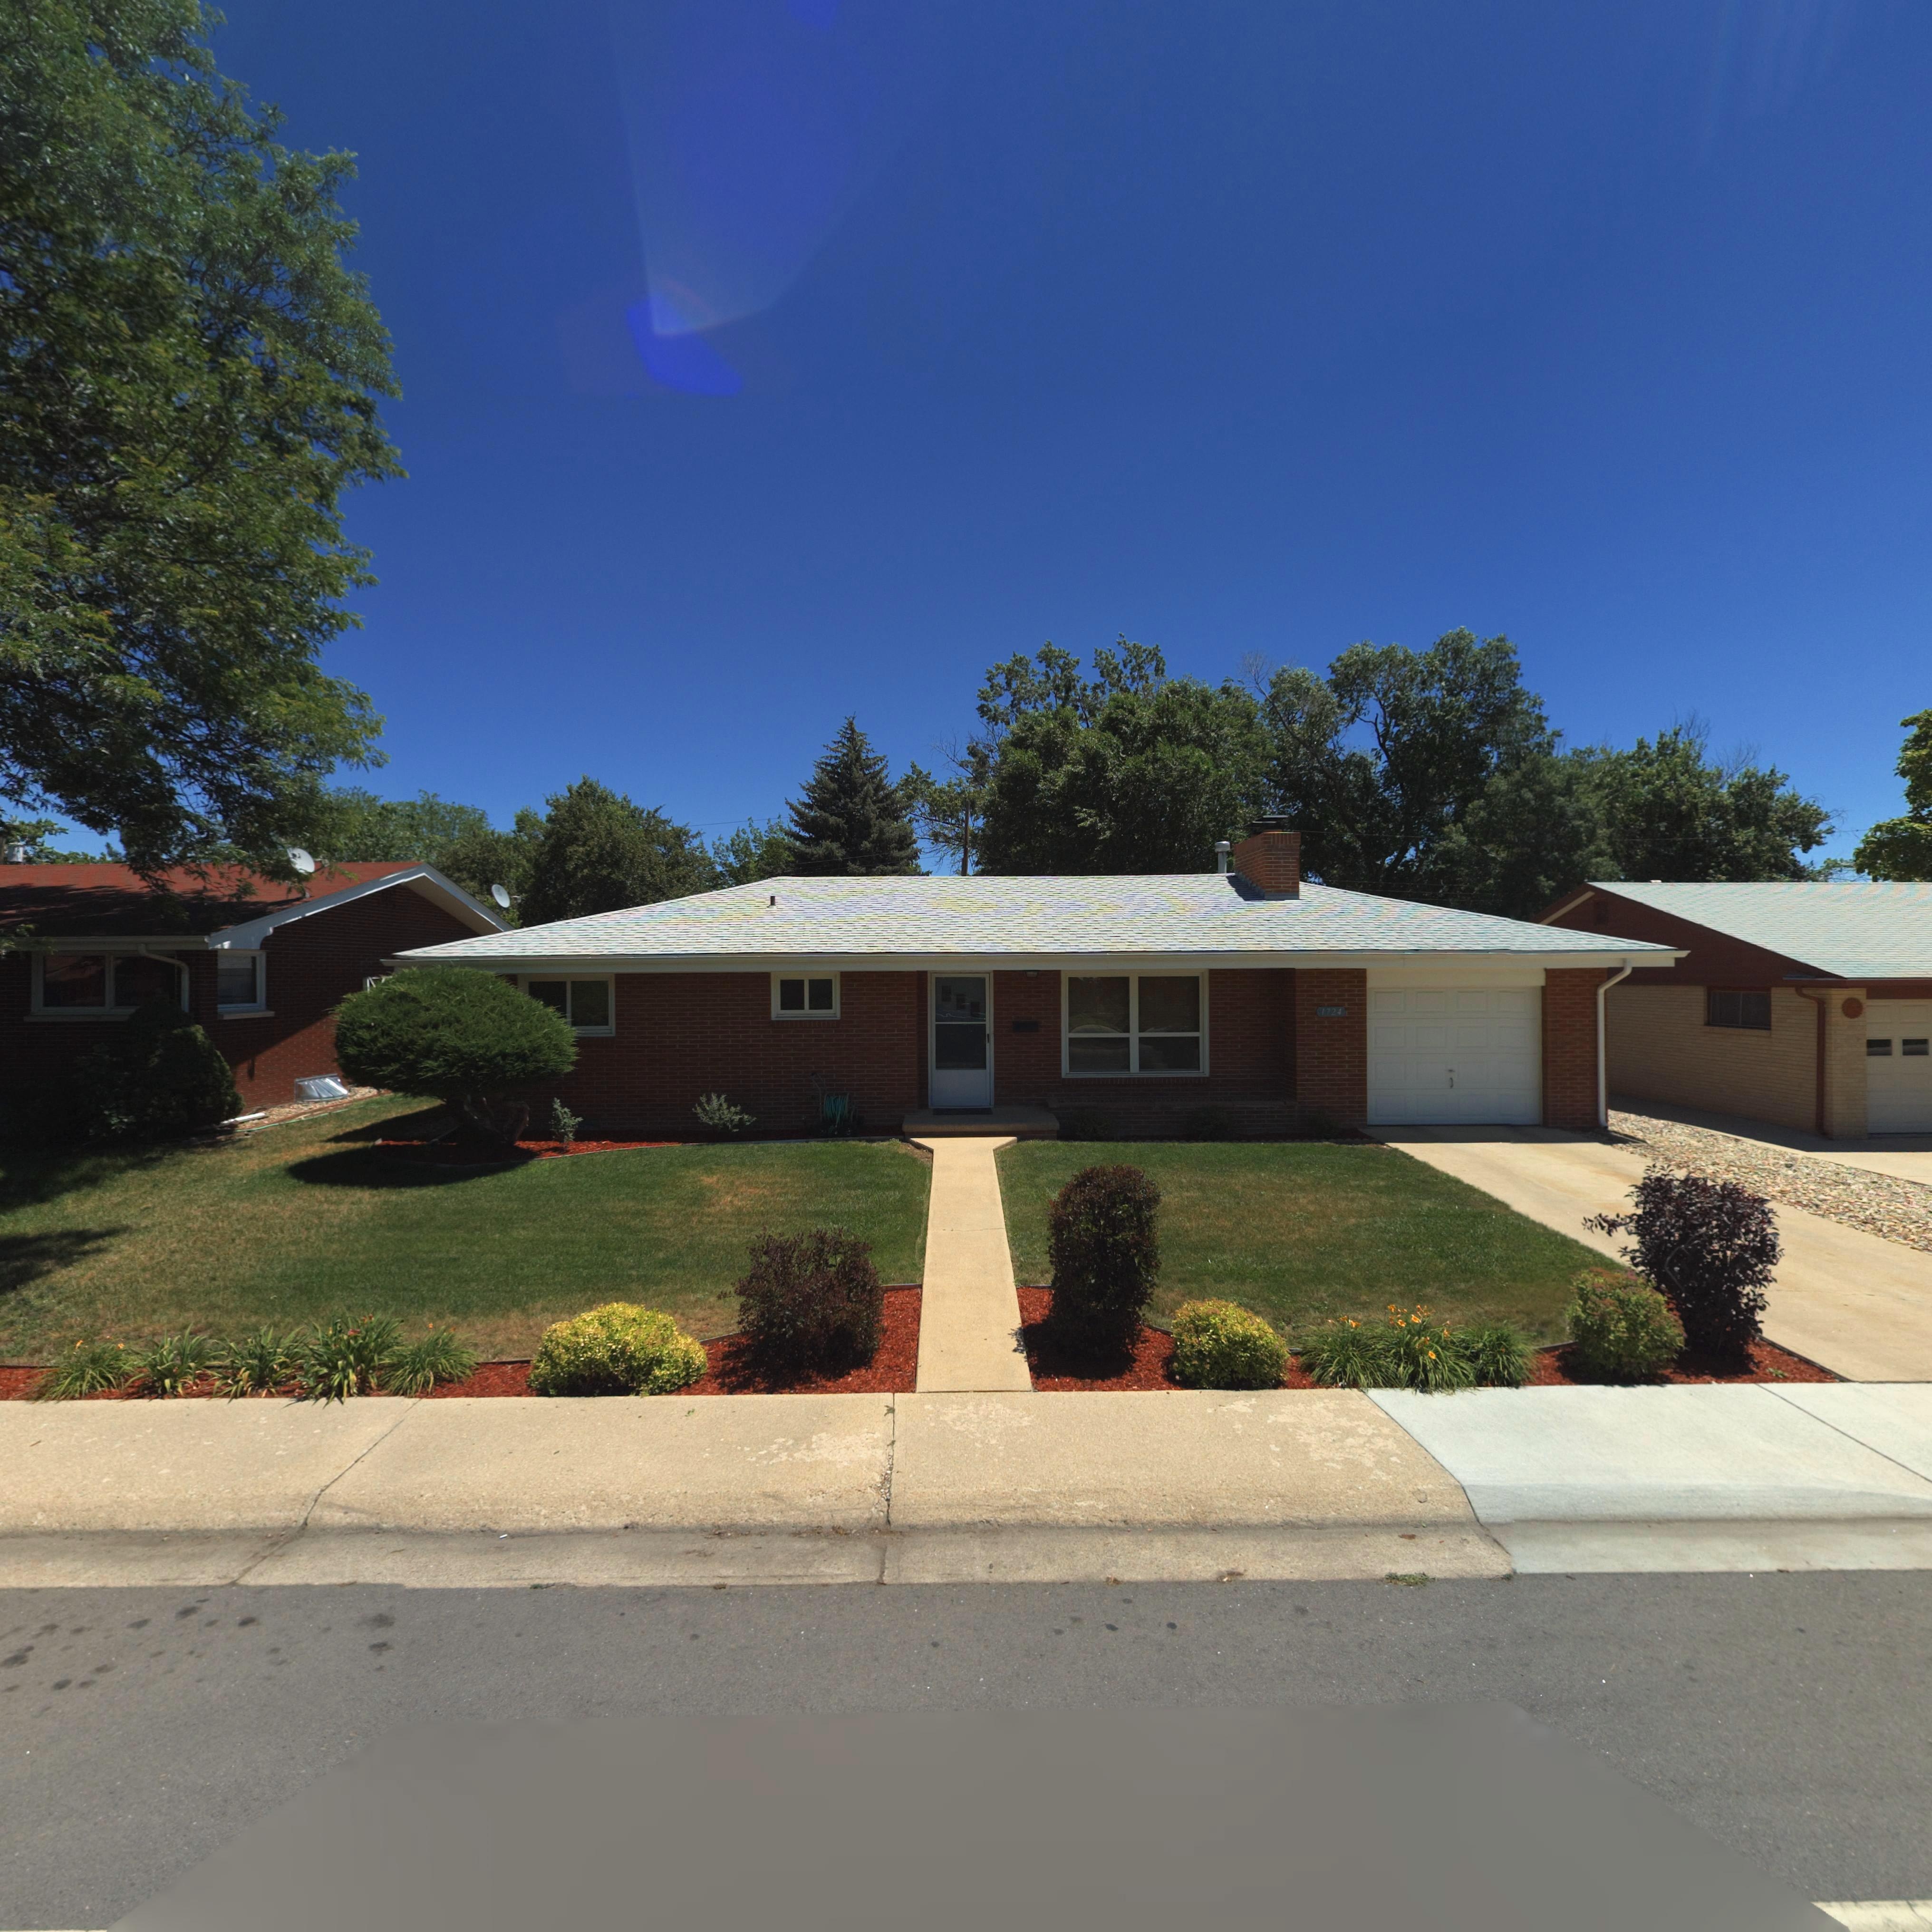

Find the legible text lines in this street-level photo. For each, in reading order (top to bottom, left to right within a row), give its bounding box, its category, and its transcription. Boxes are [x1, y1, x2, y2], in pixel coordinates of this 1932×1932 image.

[1320, 1008, 1342, 1016] StreetNumber: 1724